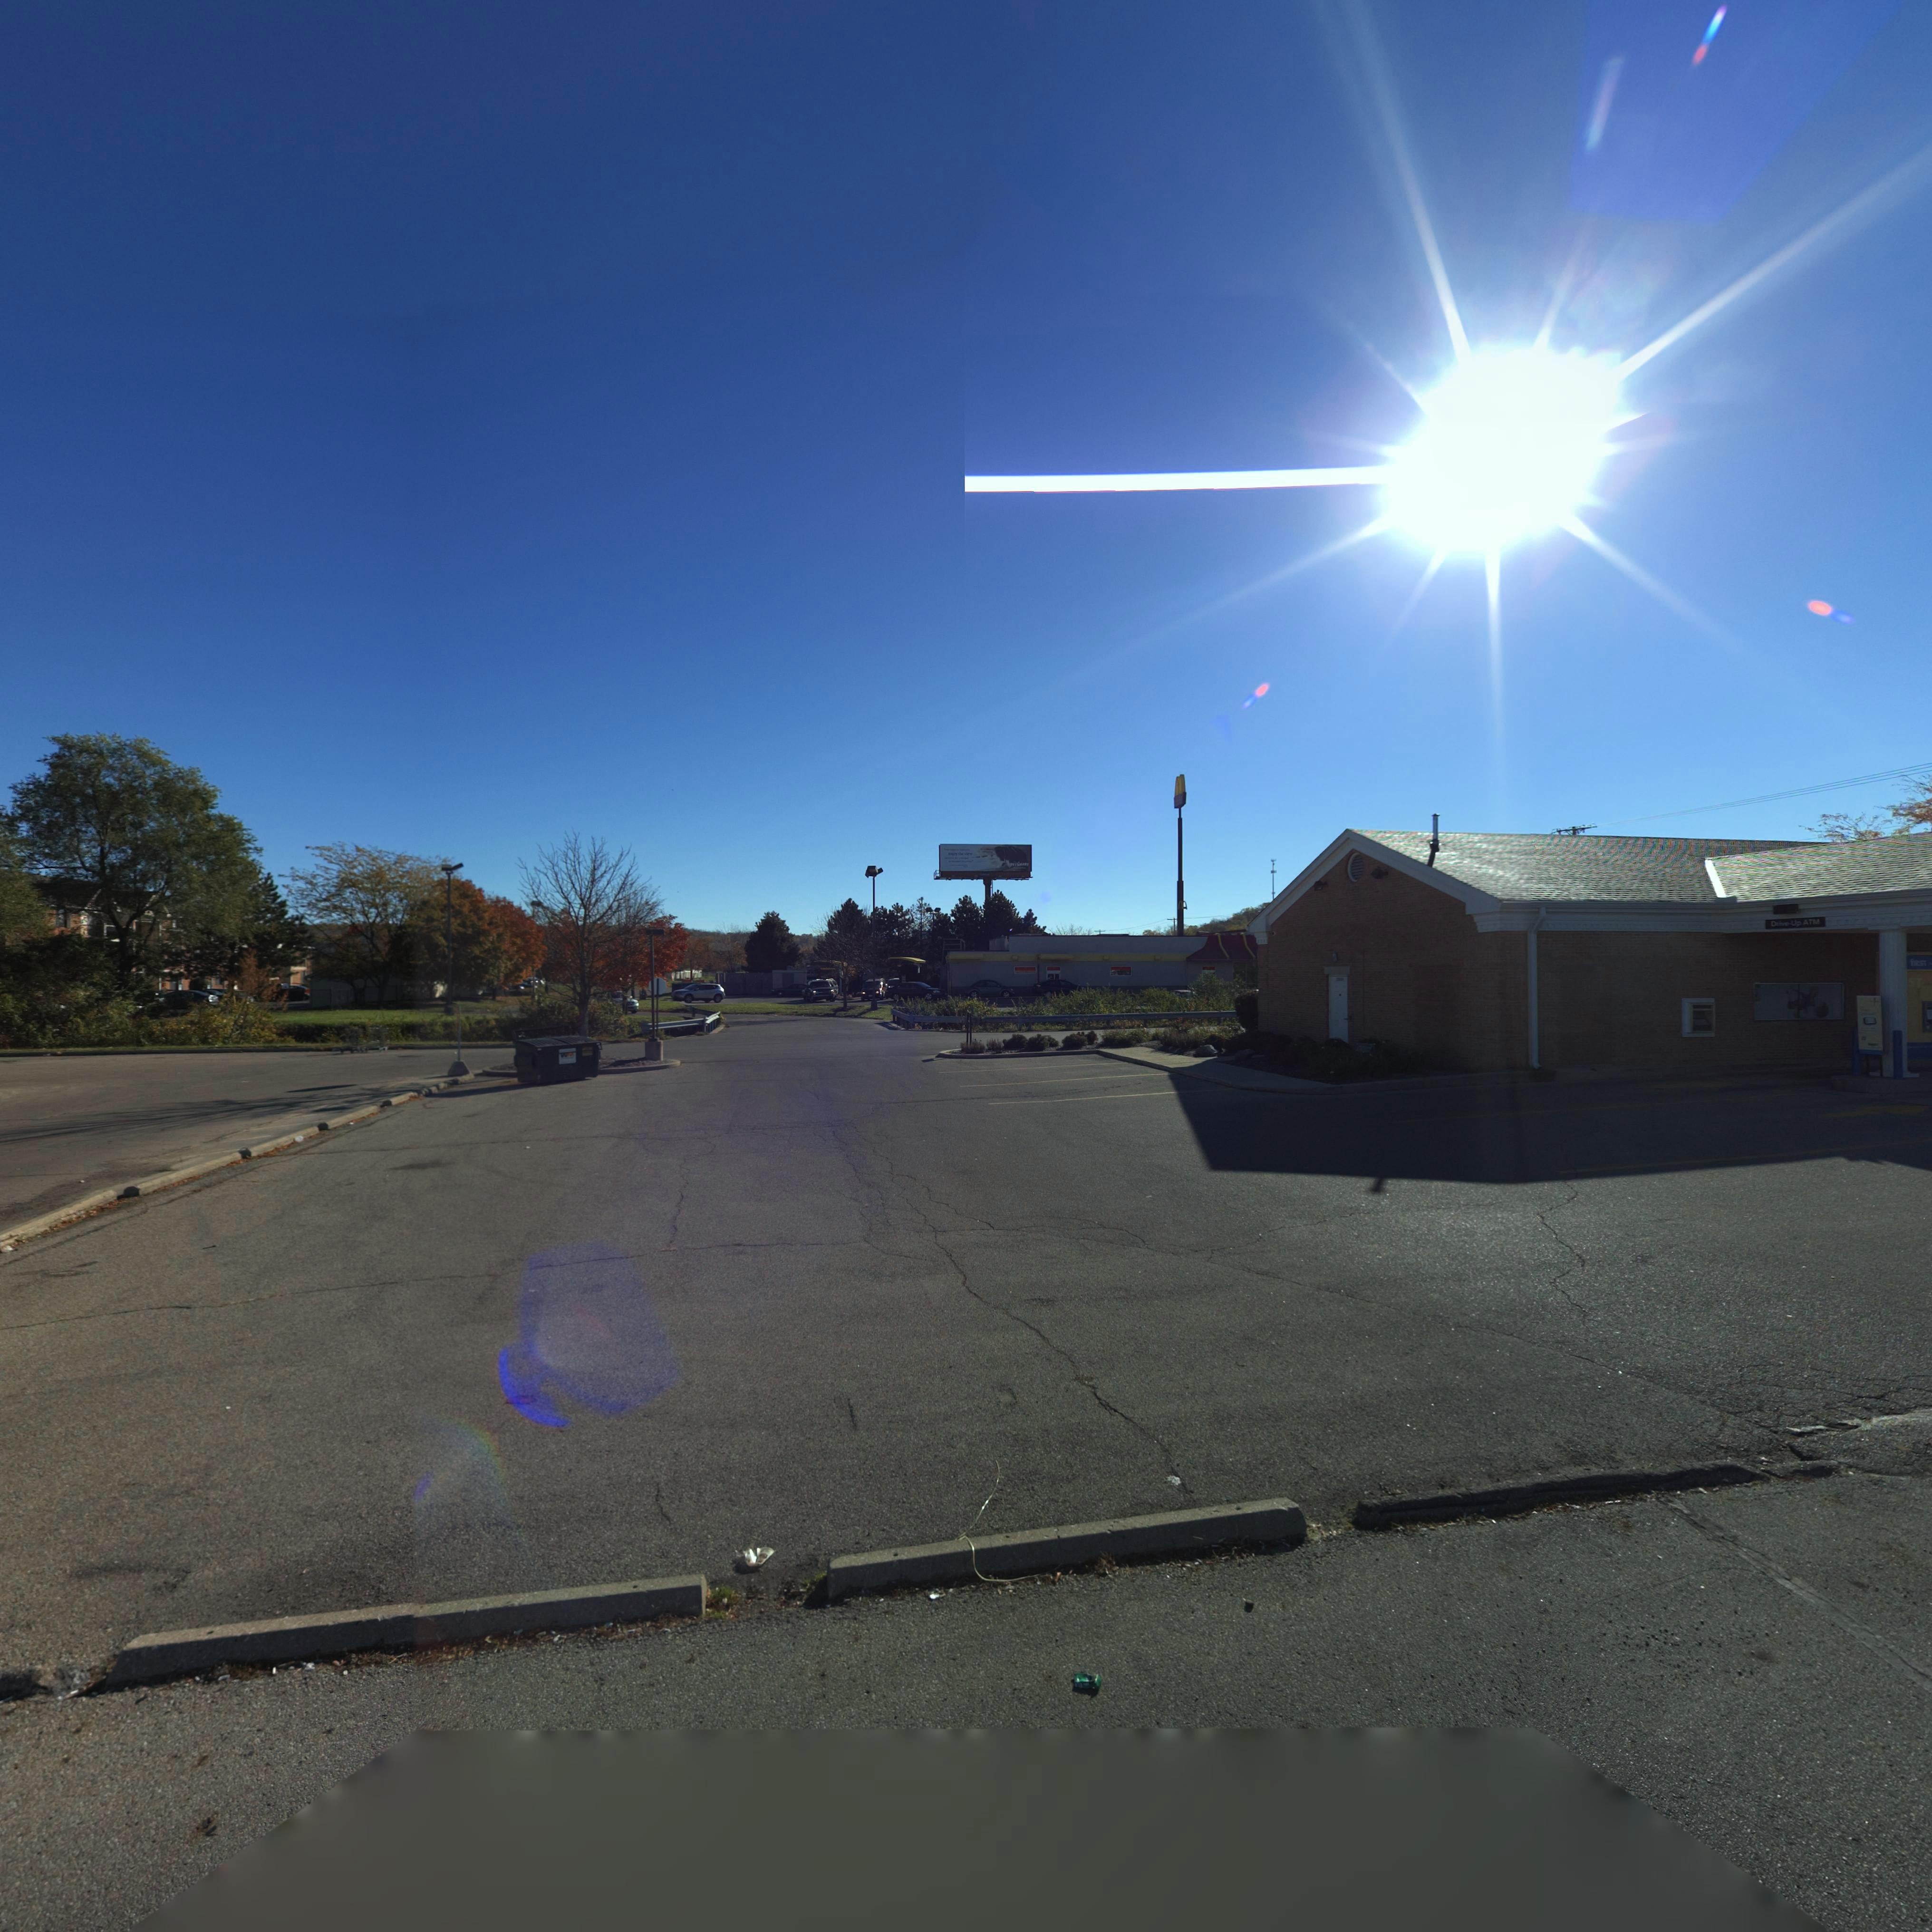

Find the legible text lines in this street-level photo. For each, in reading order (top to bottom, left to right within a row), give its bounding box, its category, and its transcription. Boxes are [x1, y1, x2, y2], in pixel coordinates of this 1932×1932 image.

[1336, 977, 1345, 982] StreetNumber: 2***